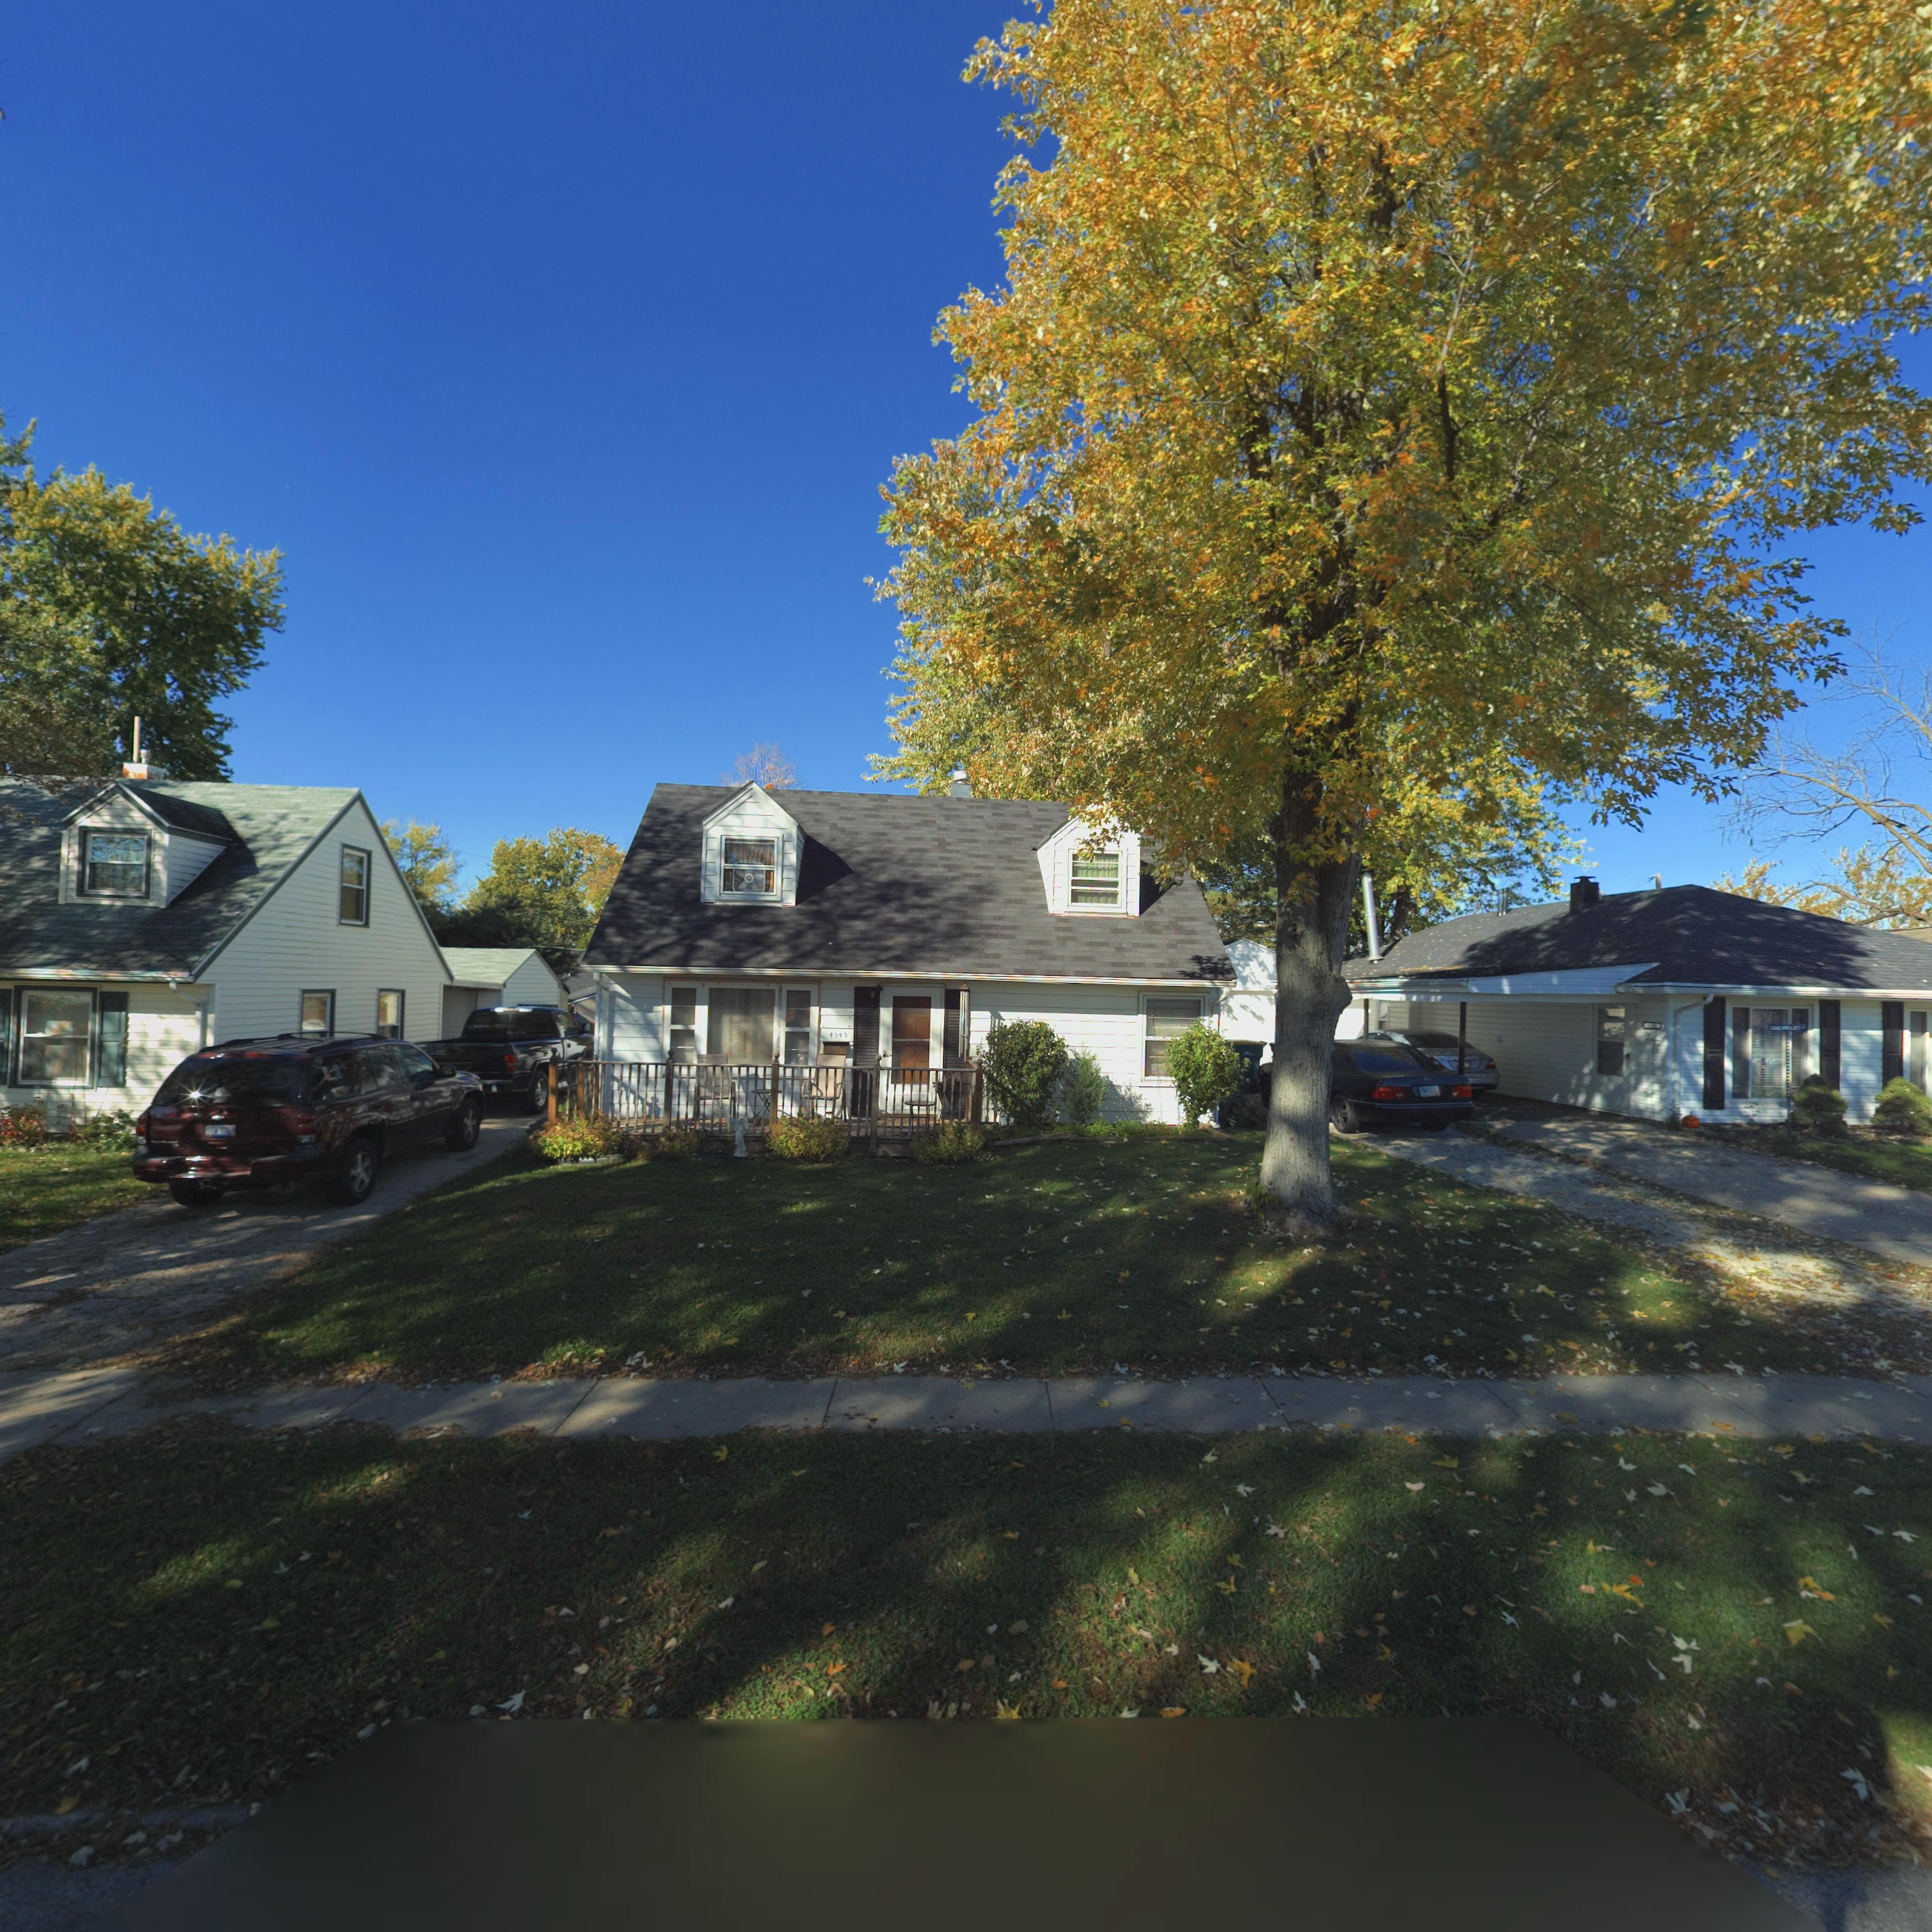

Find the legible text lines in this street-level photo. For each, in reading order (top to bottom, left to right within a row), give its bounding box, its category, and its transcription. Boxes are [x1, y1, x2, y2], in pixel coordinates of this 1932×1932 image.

[828, 1032, 848, 1039] StreetNumber: 4543